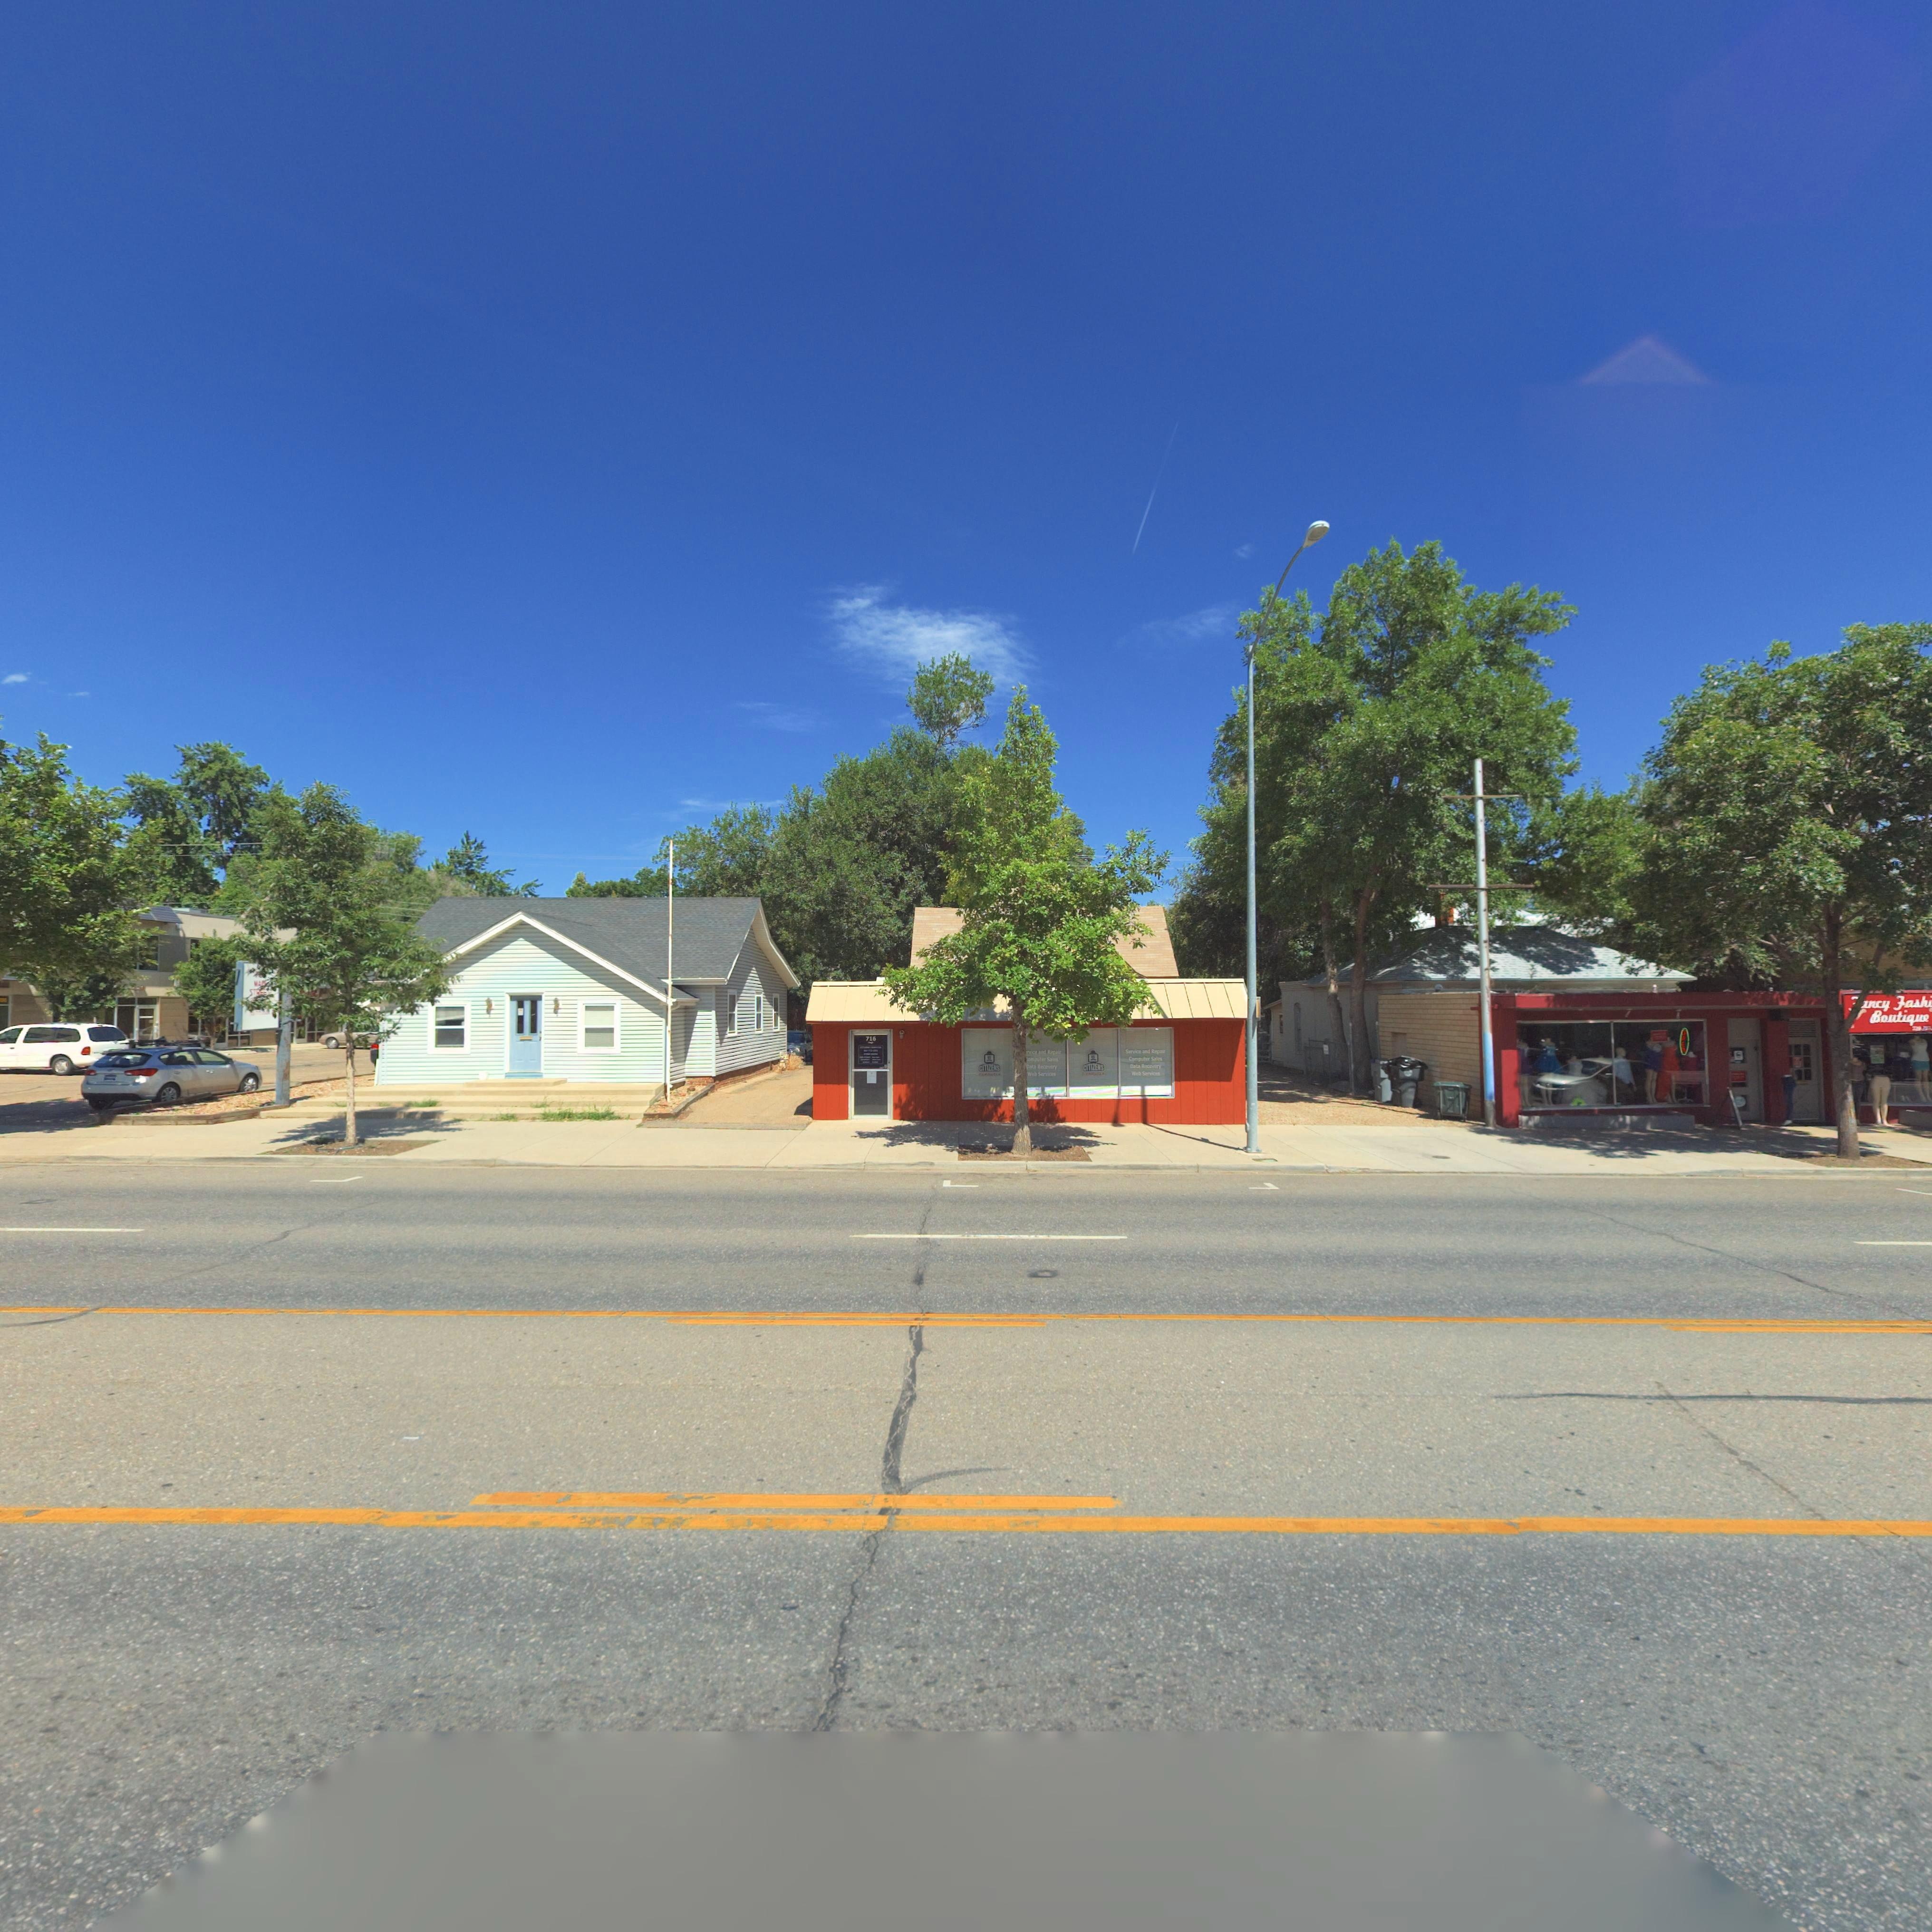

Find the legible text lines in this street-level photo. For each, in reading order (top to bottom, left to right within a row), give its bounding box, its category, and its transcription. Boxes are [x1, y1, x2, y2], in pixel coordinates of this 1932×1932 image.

[253, 980, 267, 986] StreetName: MA**
[249, 988, 271, 996] StreetName: ST****
[1847, 995, 1928, 1012] BusinessName: **ncy Fash
[1869, 1009, 1929, 1026] BusinessName: Boutique
[865, 1035, 876, 1041] StreetNumber: 716
[979, 1063, 1000, 1071] BusinessName: CITIZENS
[1082, 1063, 1104, 1071] BusinessName: CITIZENS